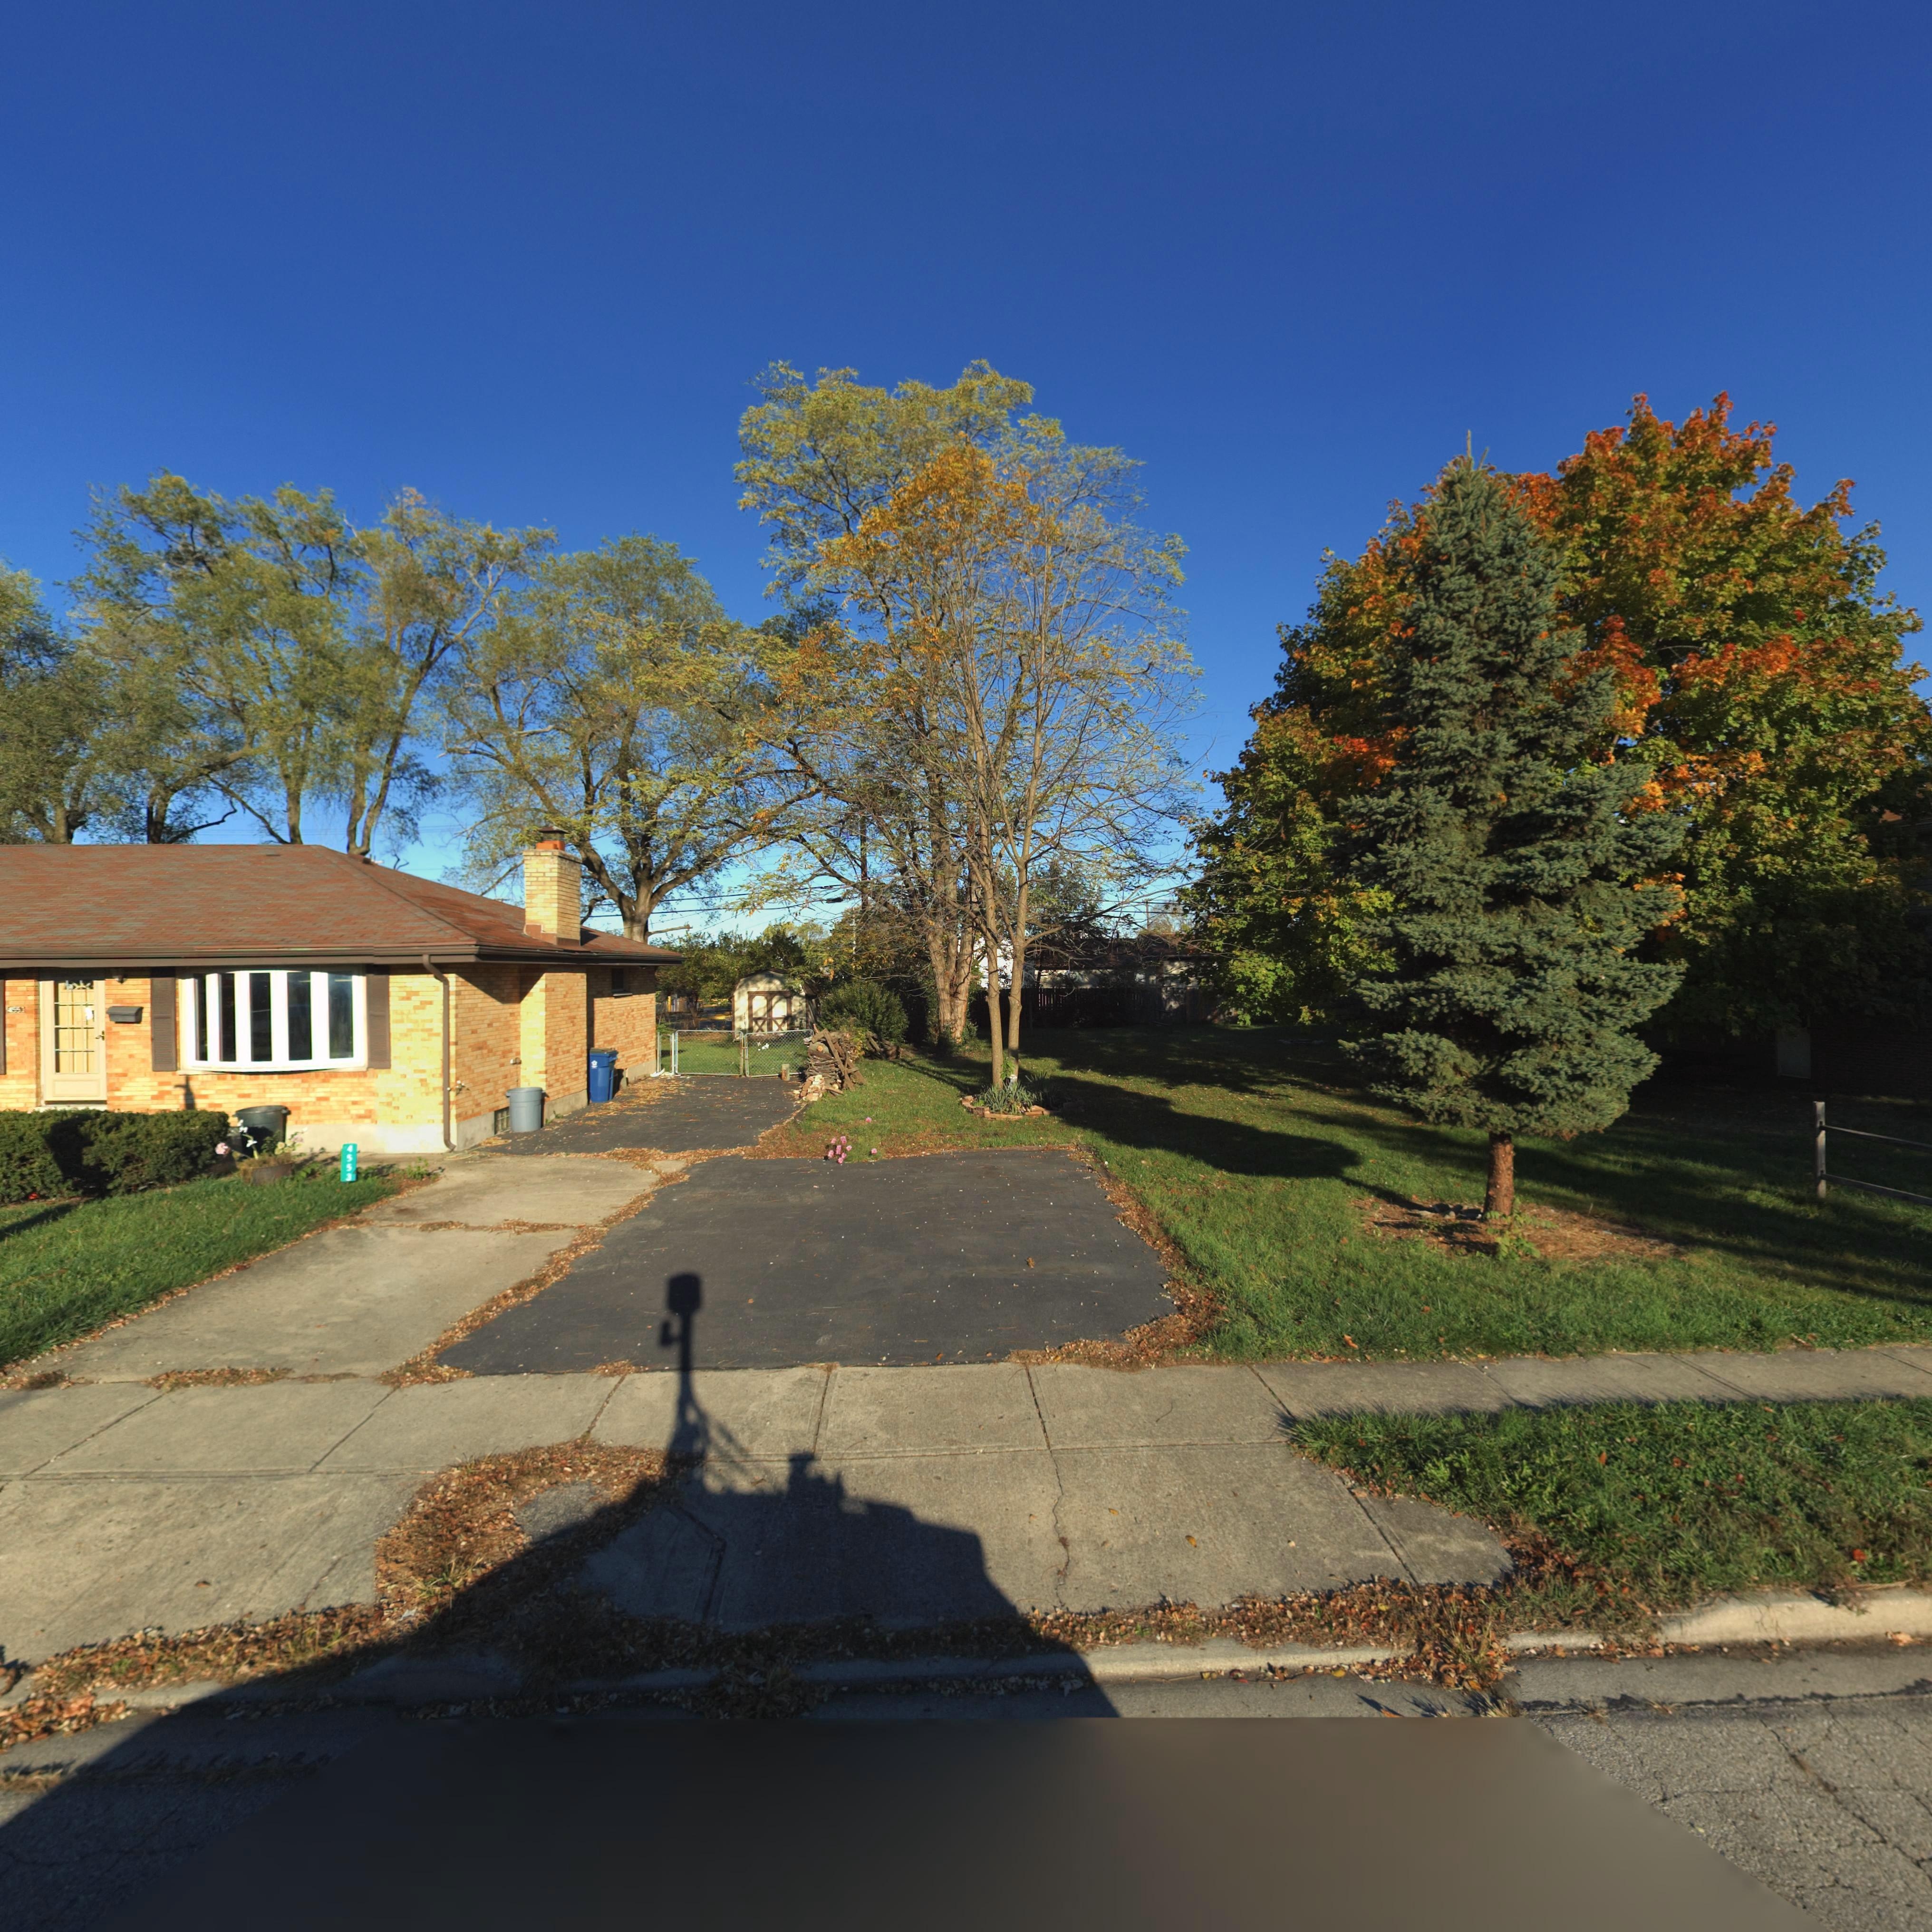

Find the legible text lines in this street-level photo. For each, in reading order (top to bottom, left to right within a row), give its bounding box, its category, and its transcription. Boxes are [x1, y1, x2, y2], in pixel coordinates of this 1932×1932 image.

[7, 1005, 25, 1013] StreetNumber: 4553